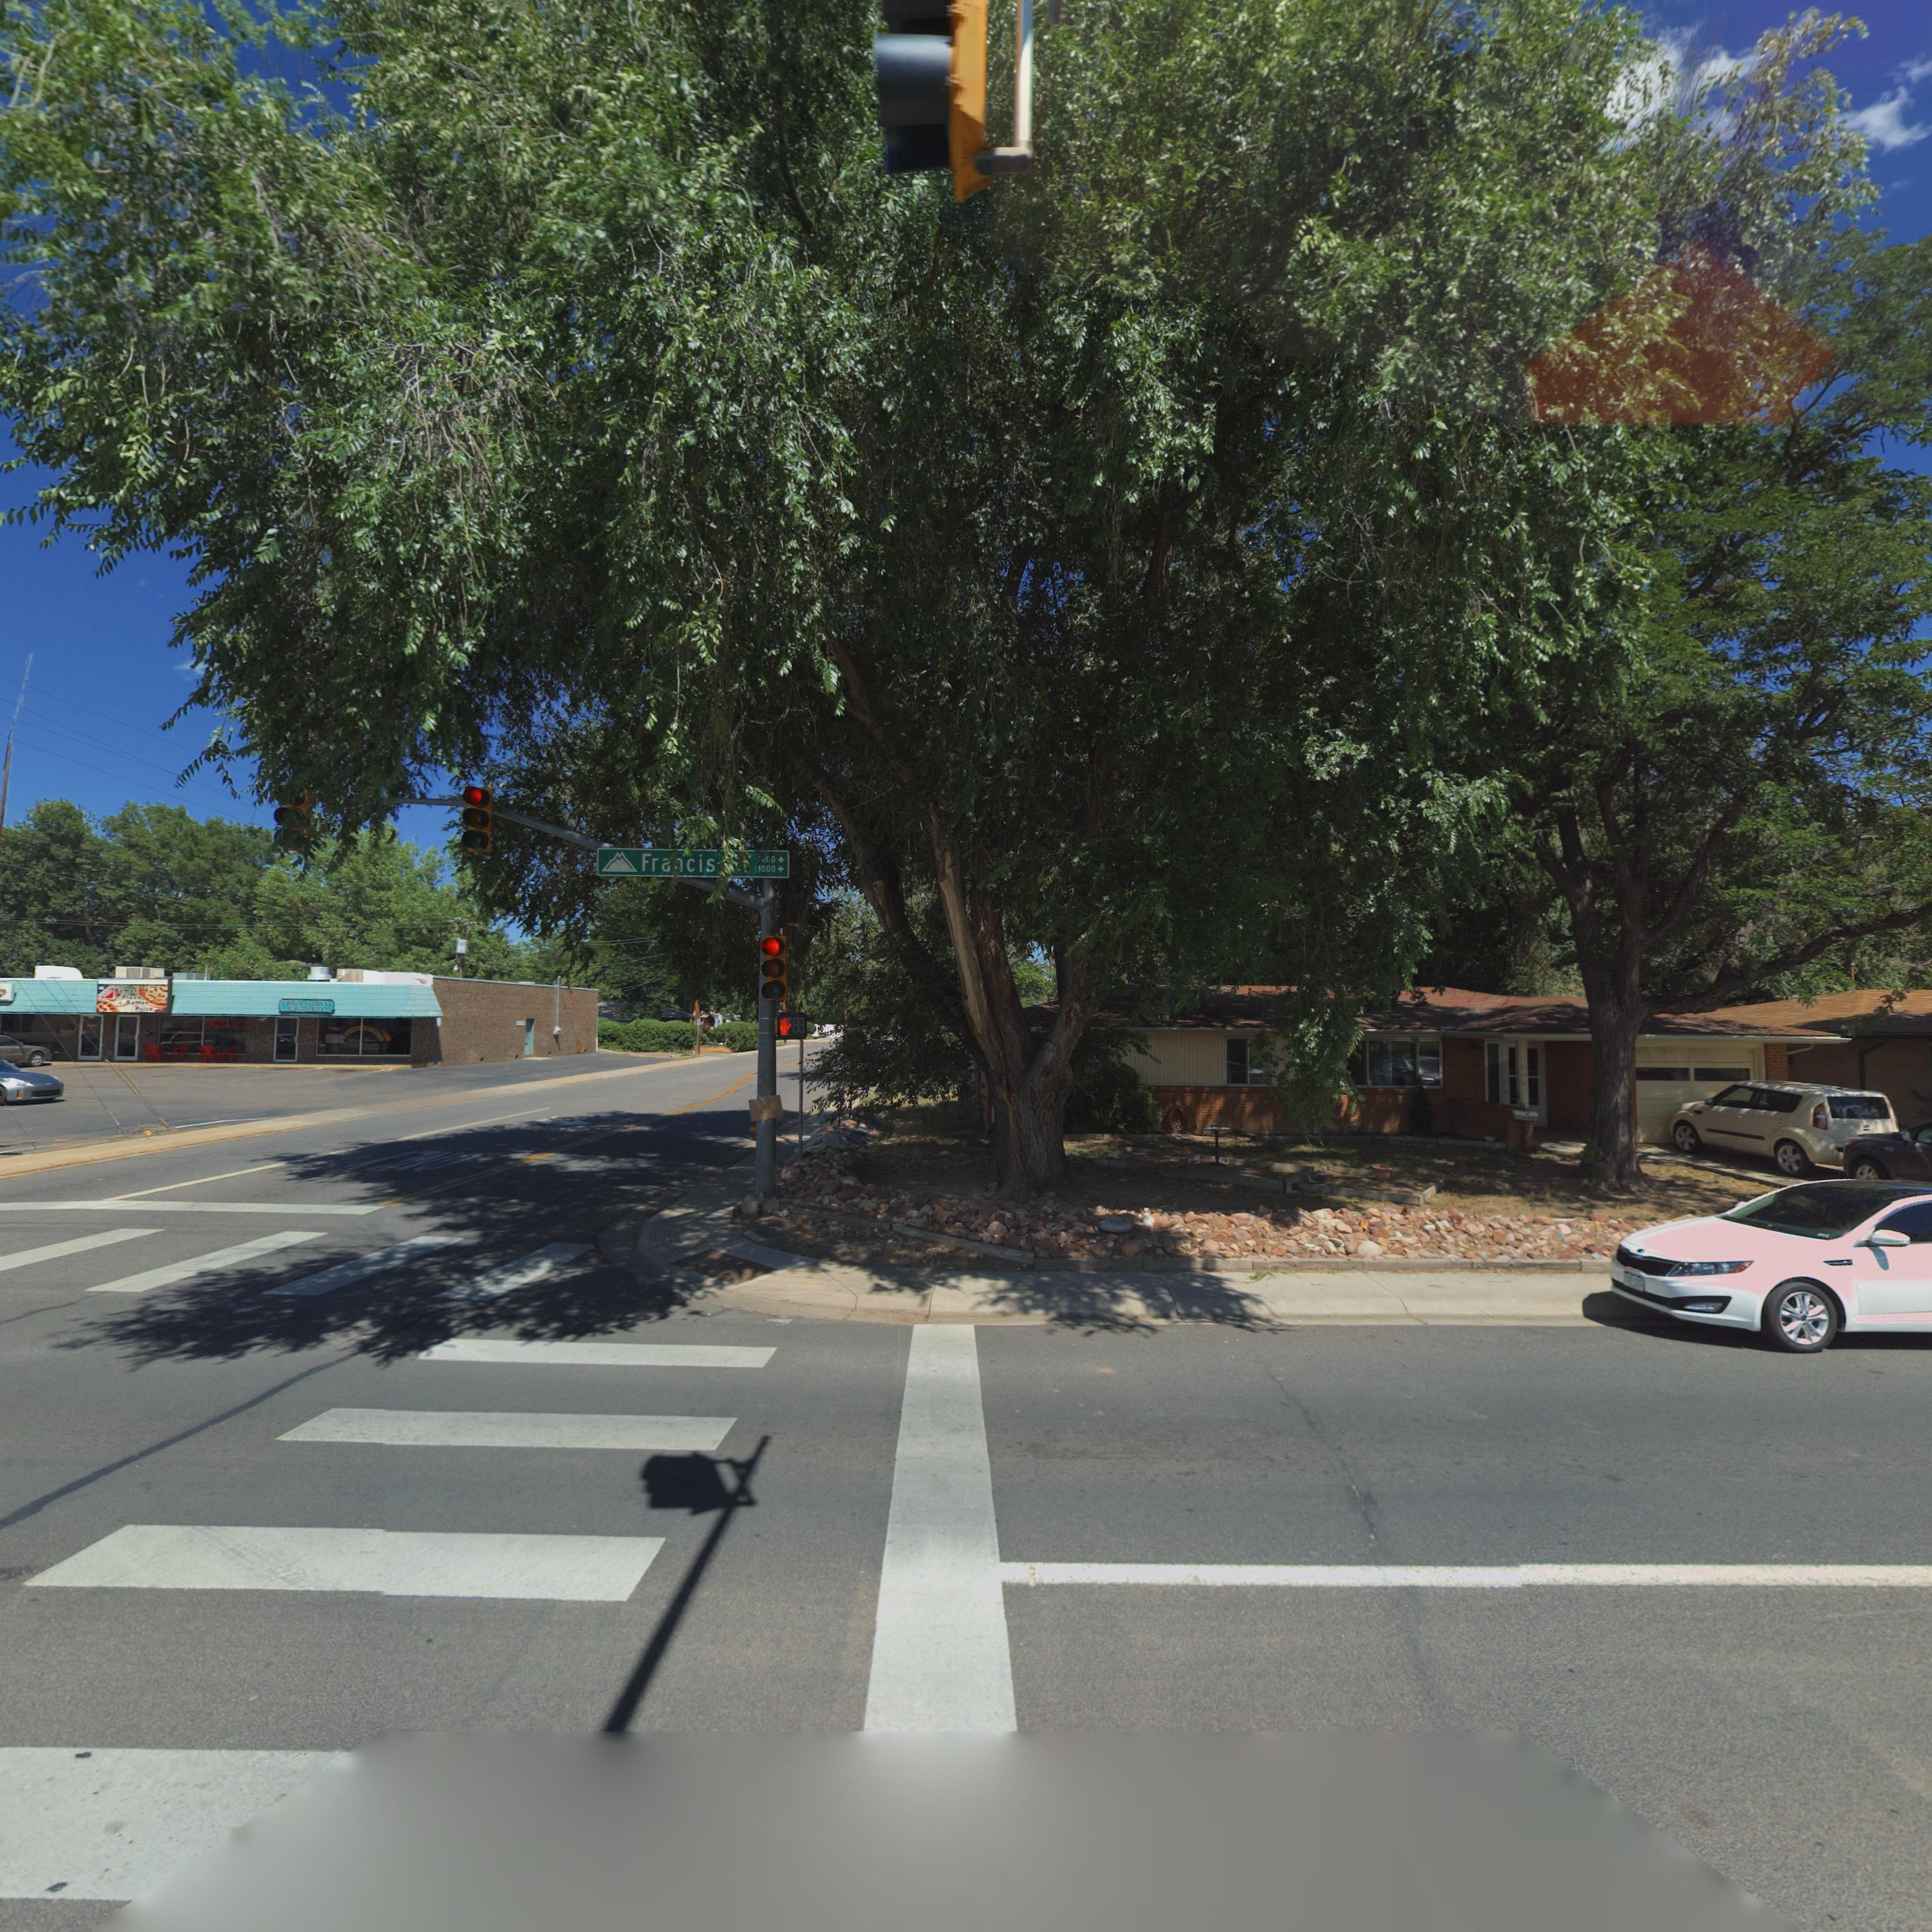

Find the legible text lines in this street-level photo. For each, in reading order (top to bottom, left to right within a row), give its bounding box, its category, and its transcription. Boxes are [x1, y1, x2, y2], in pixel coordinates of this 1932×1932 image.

[641, 852, 715, 873] StreetName: Francis
[757, 855, 776, 864] StreetNumberRange: **00
[758, 864, 784, 872] StreetNumberRange: 1000 ->
[282, 999, 332, 1006] BusinessName: PROFESSIONAL
[288, 1005, 325, 1011] BusinessName: RECOVERY
[339, 1025, 385, 1043] BusinessName: P***ESSI**AL R*CO*ERY
[1522, 1056, 1528, 1086] StreetNumber: 104*